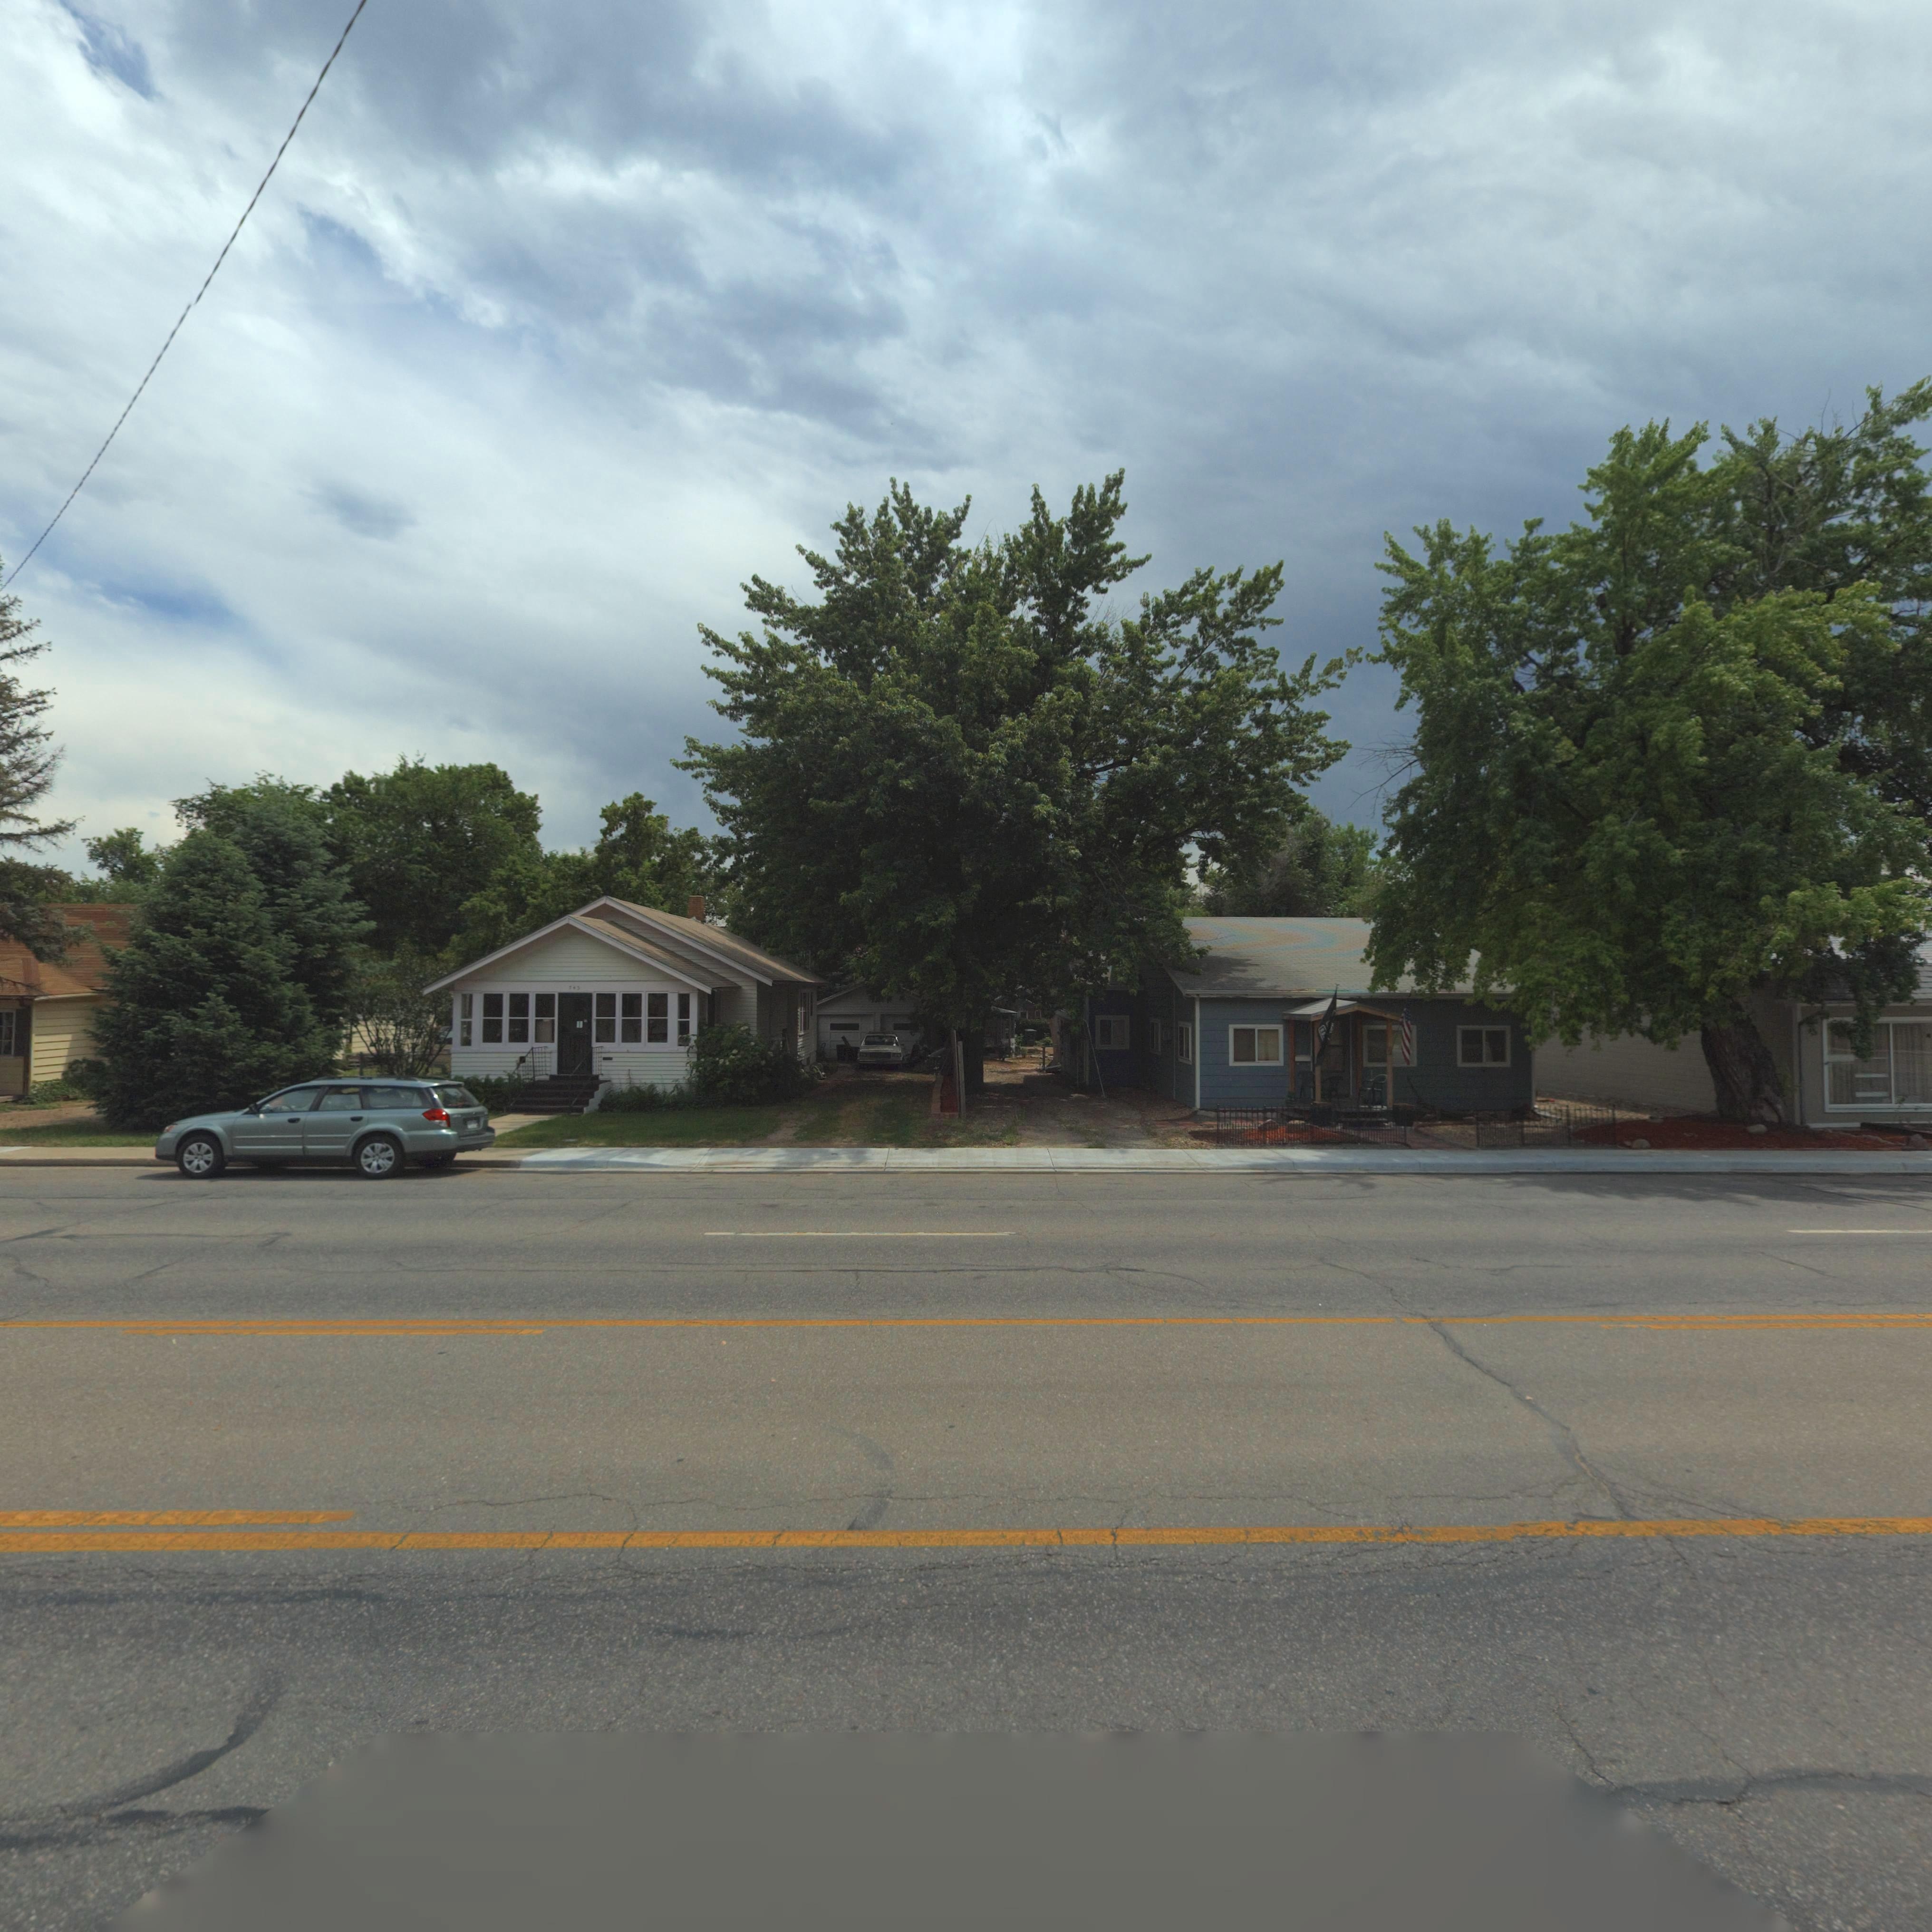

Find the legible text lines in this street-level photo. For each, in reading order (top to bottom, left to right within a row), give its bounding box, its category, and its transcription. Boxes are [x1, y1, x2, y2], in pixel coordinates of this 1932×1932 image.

[568, 985, 580, 990] StreetNumber: **5